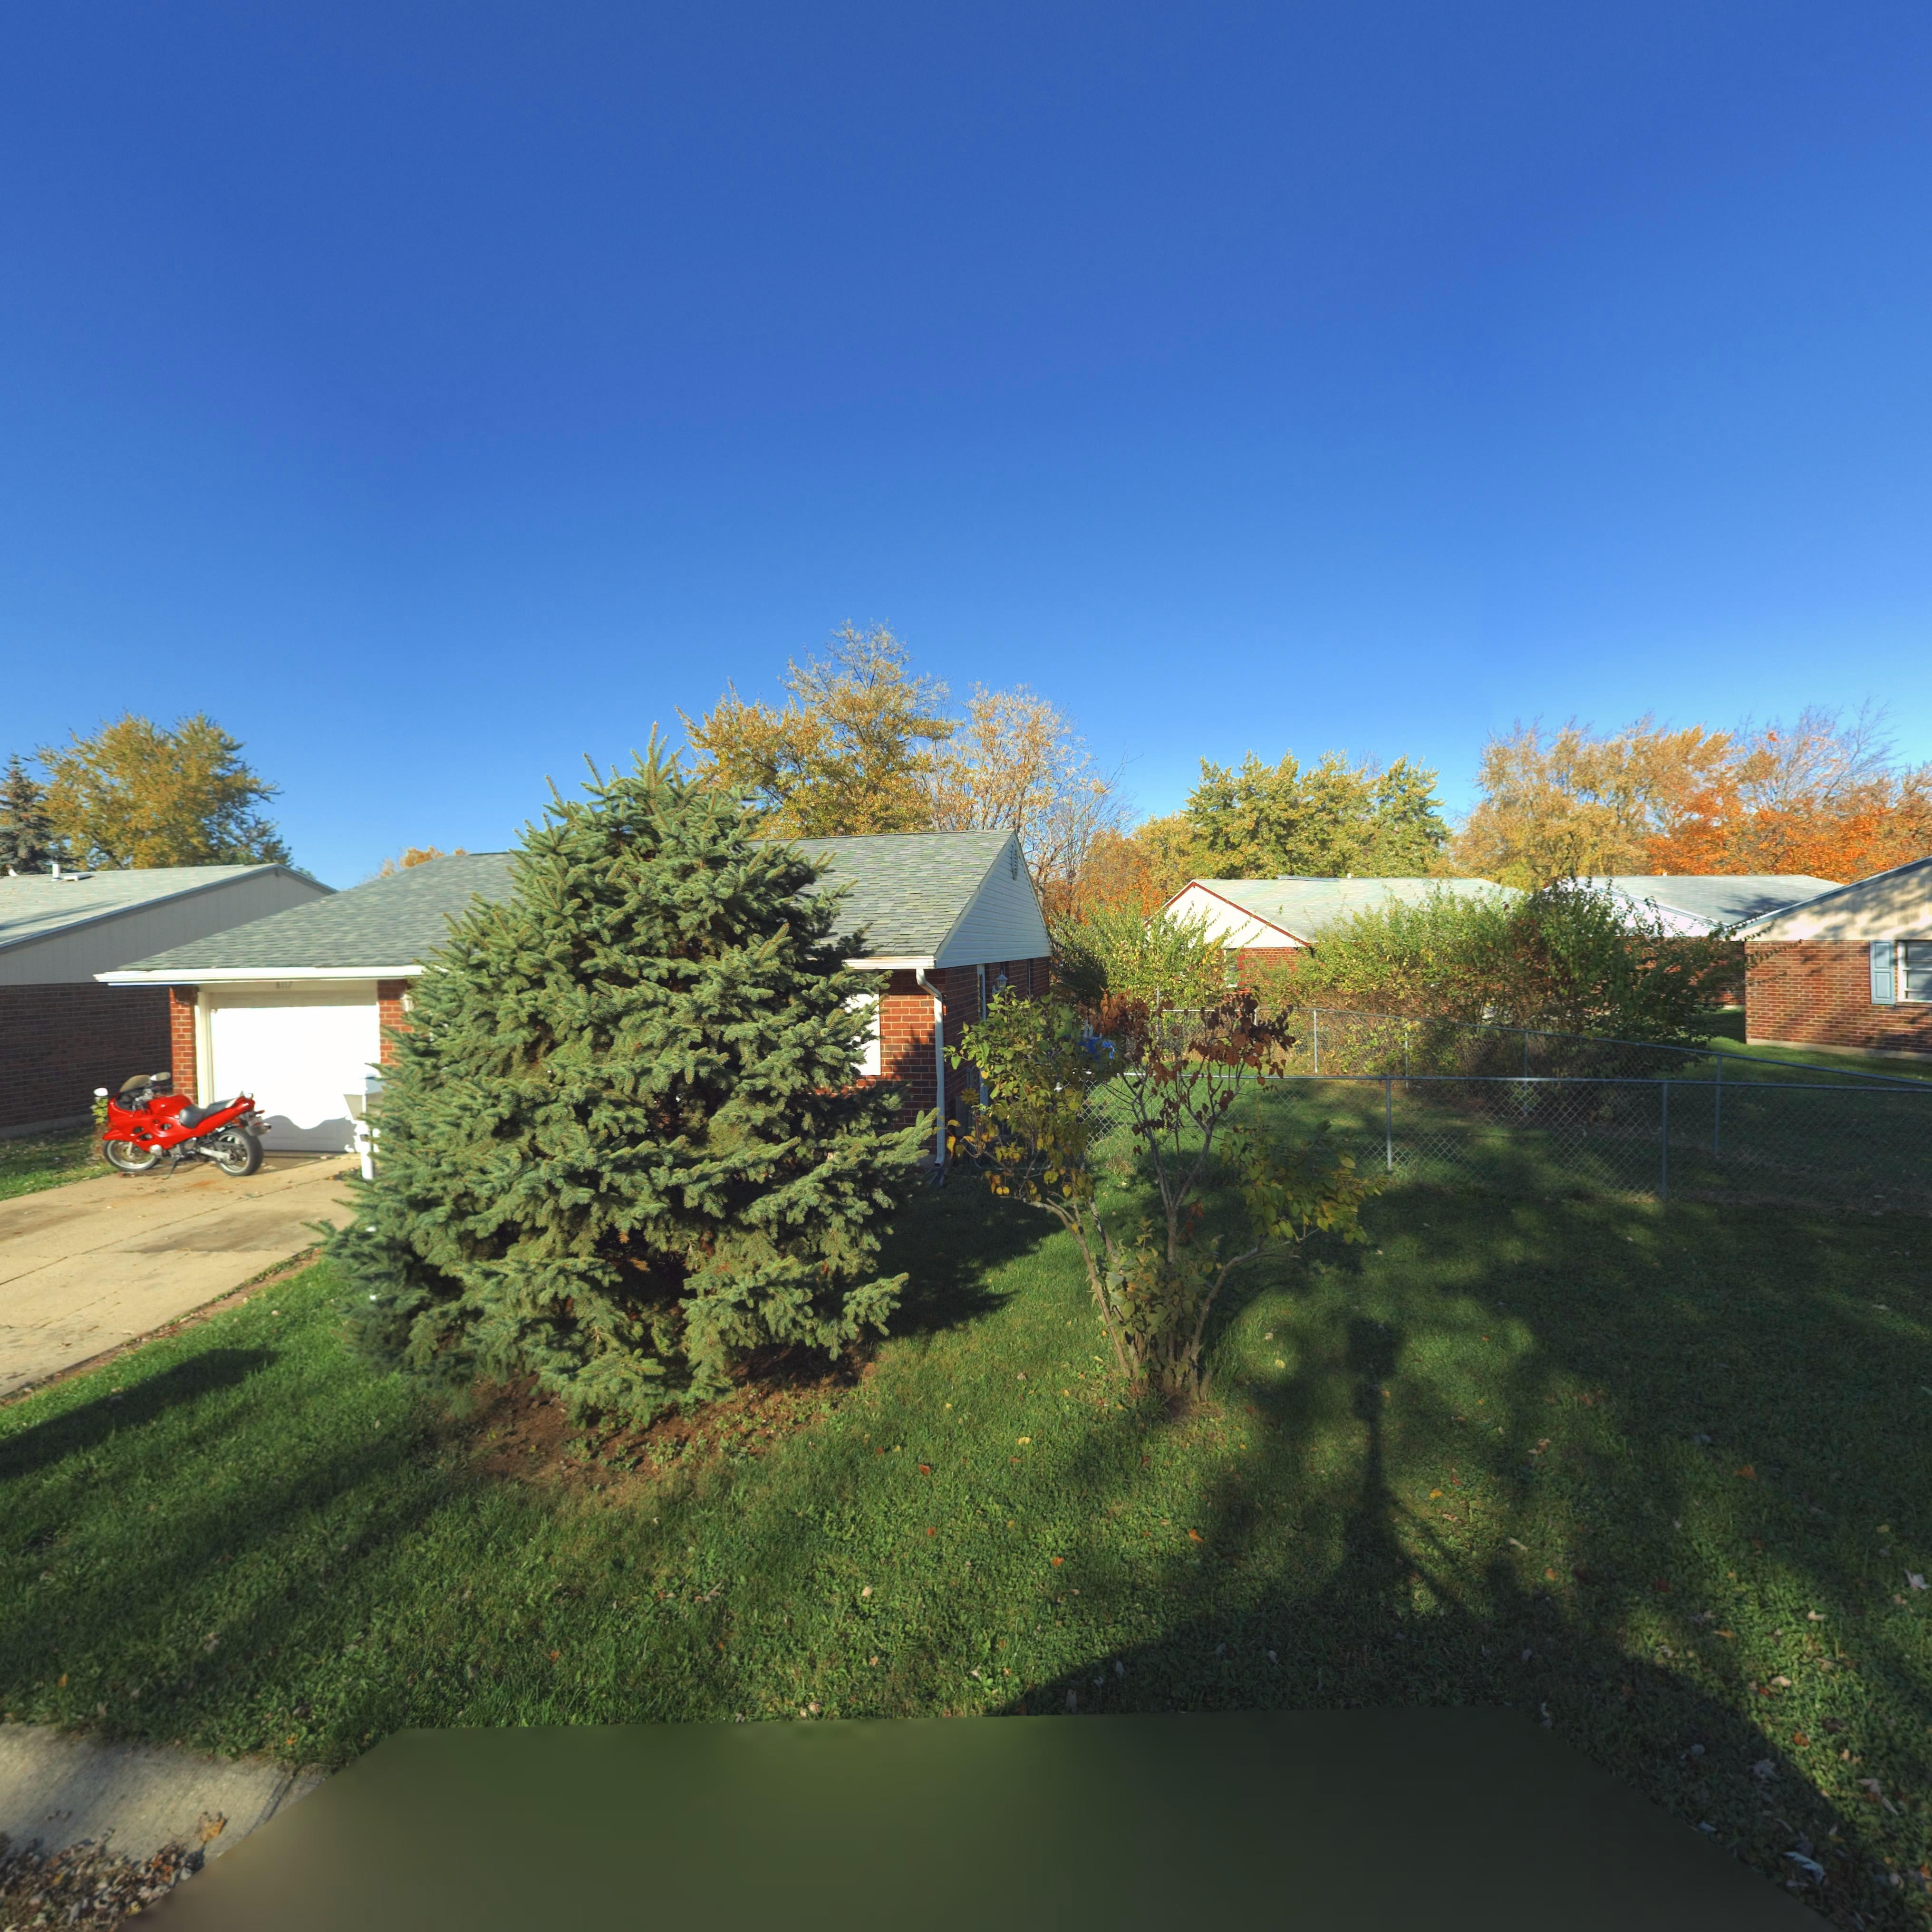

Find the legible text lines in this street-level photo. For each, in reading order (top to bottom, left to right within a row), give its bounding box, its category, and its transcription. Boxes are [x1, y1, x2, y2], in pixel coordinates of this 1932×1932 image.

[275, 981, 293, 990] StreetNumber: *11*